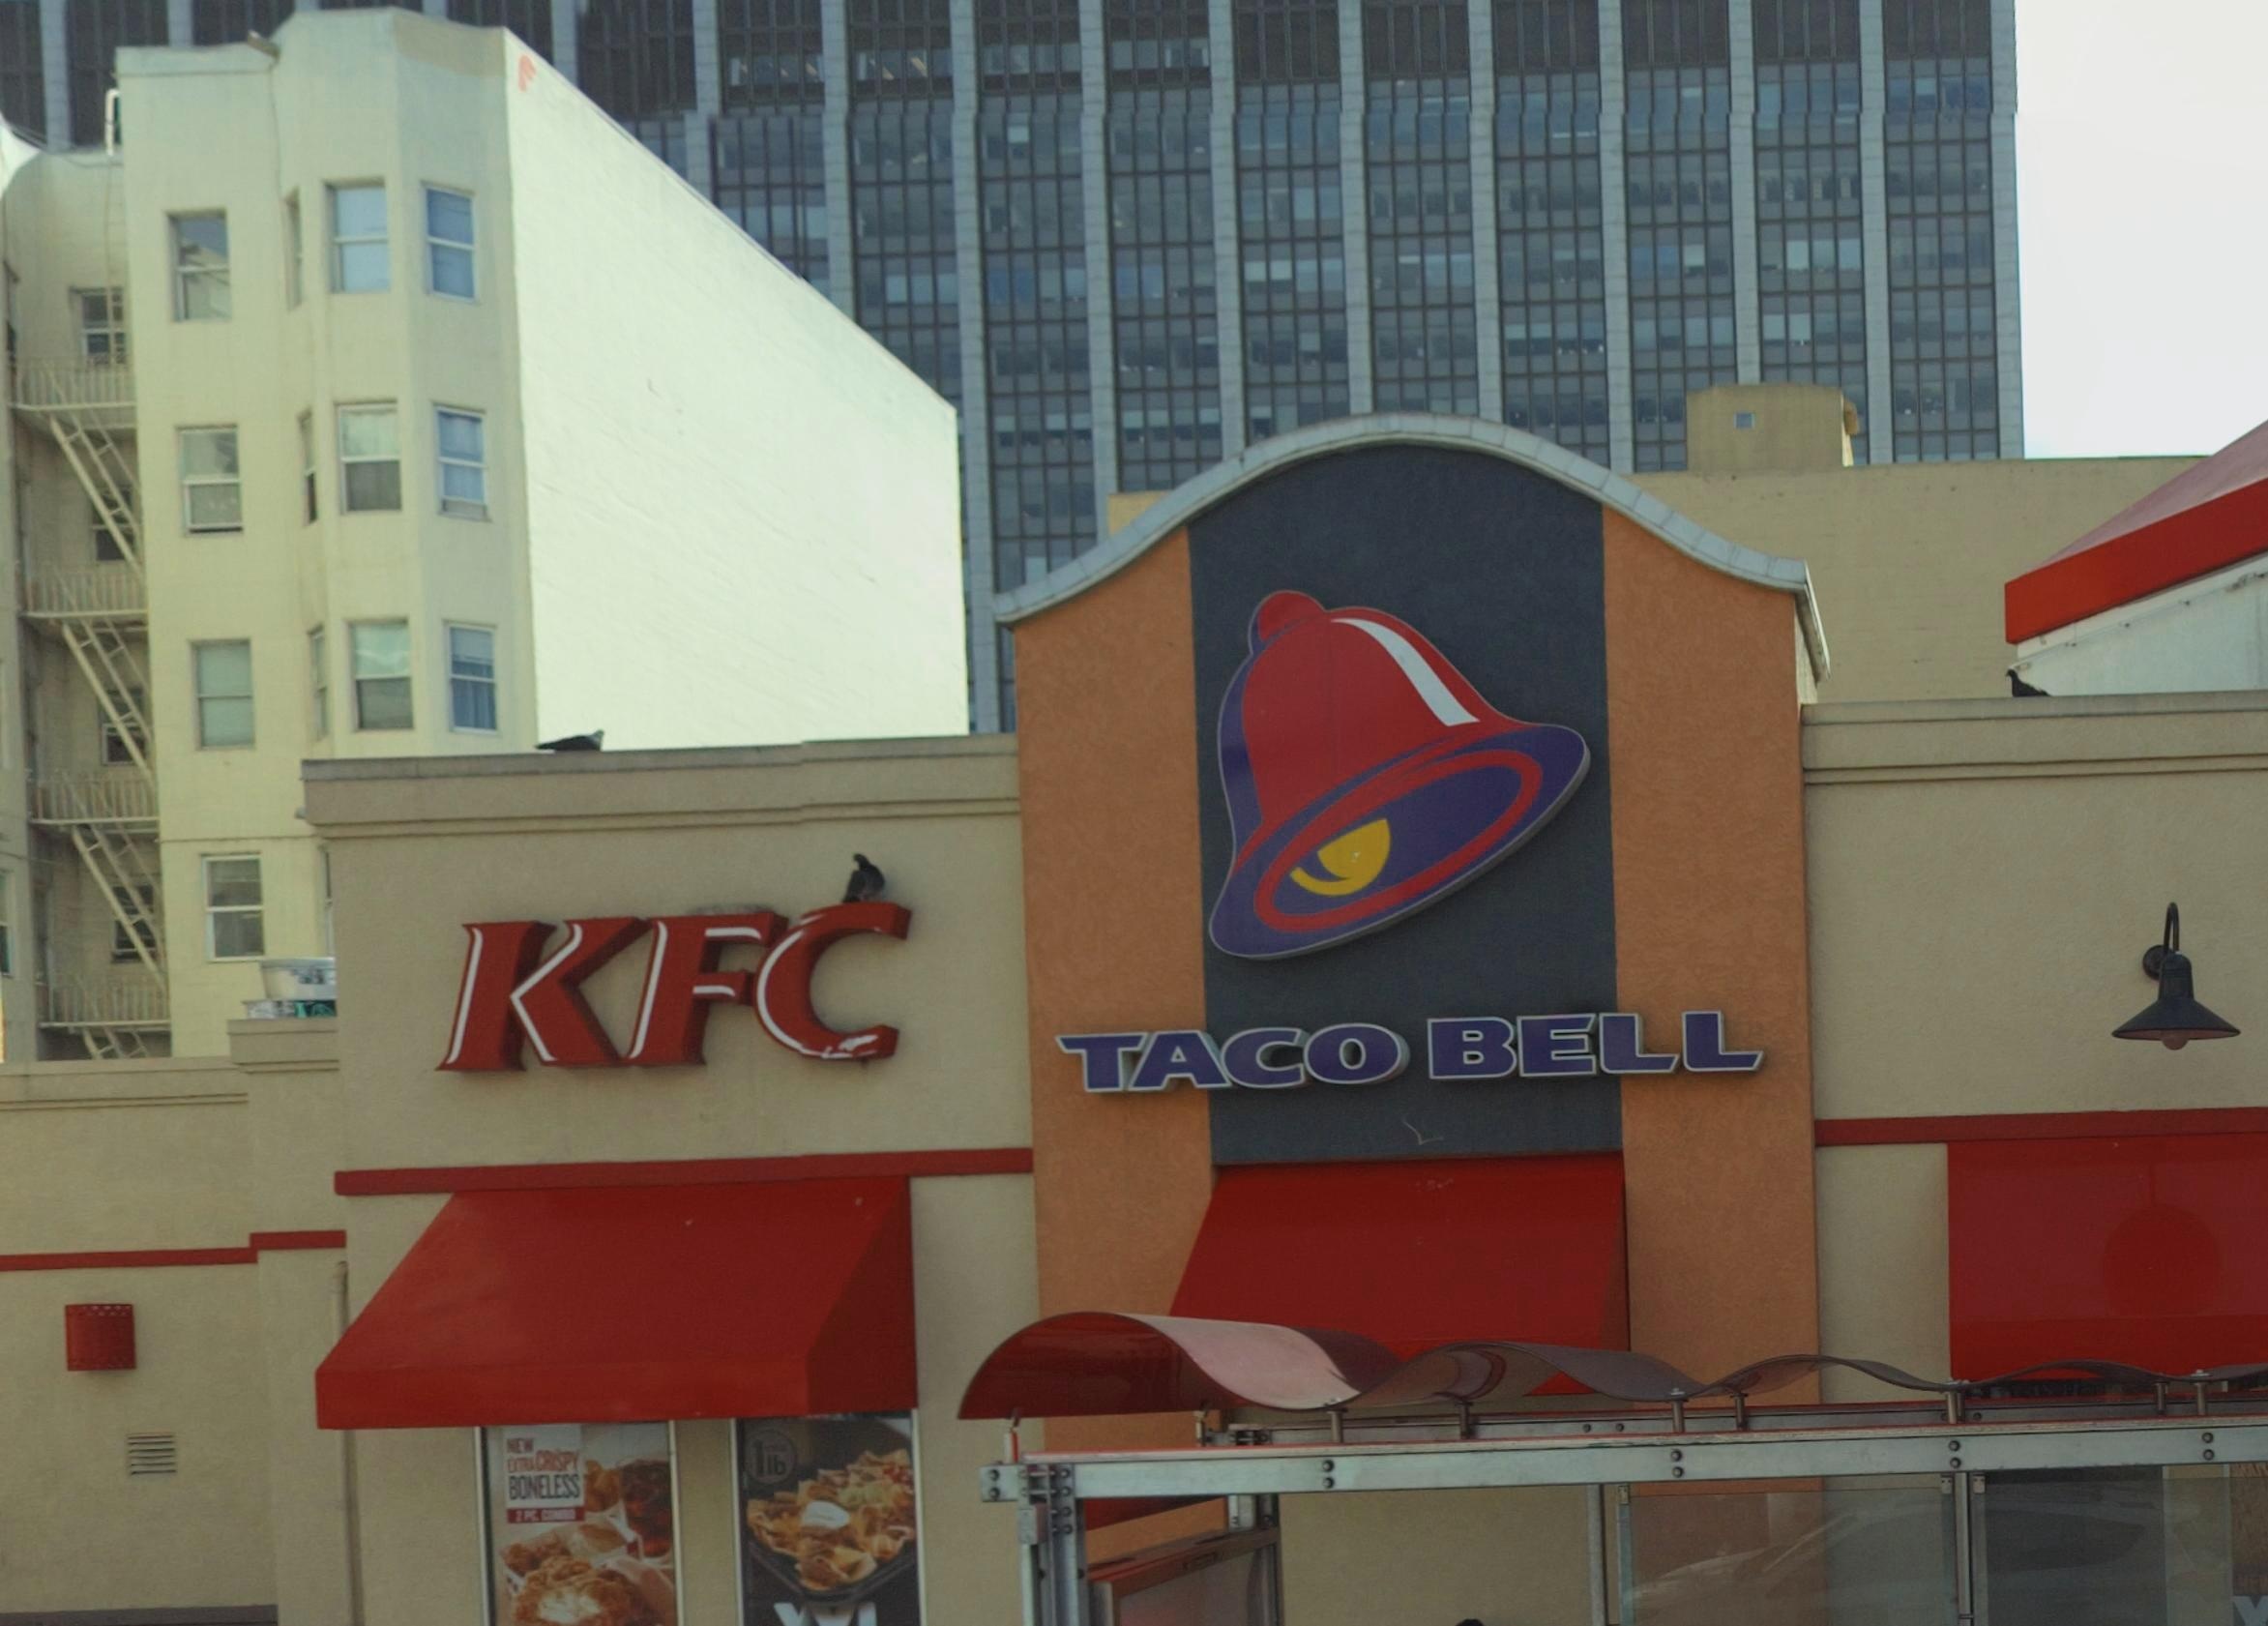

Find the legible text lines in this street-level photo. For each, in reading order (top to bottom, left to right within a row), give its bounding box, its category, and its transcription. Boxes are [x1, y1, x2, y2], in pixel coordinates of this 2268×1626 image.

[420, 894, 921, 1079] BusinessName: KFC
[1034, 995, 1784, 1108] BusinessName: TACO BELL
[504, 1434, 537, 1458] None: NEW
[533, 1445, 583, 1475] None: CRISPY
[748, 1433, 790, 1483] None: 1lb
[506, 1471, 583, 1503] None: BONELESS
[512, 1506, 550, 1525] None: 2 P.C. C